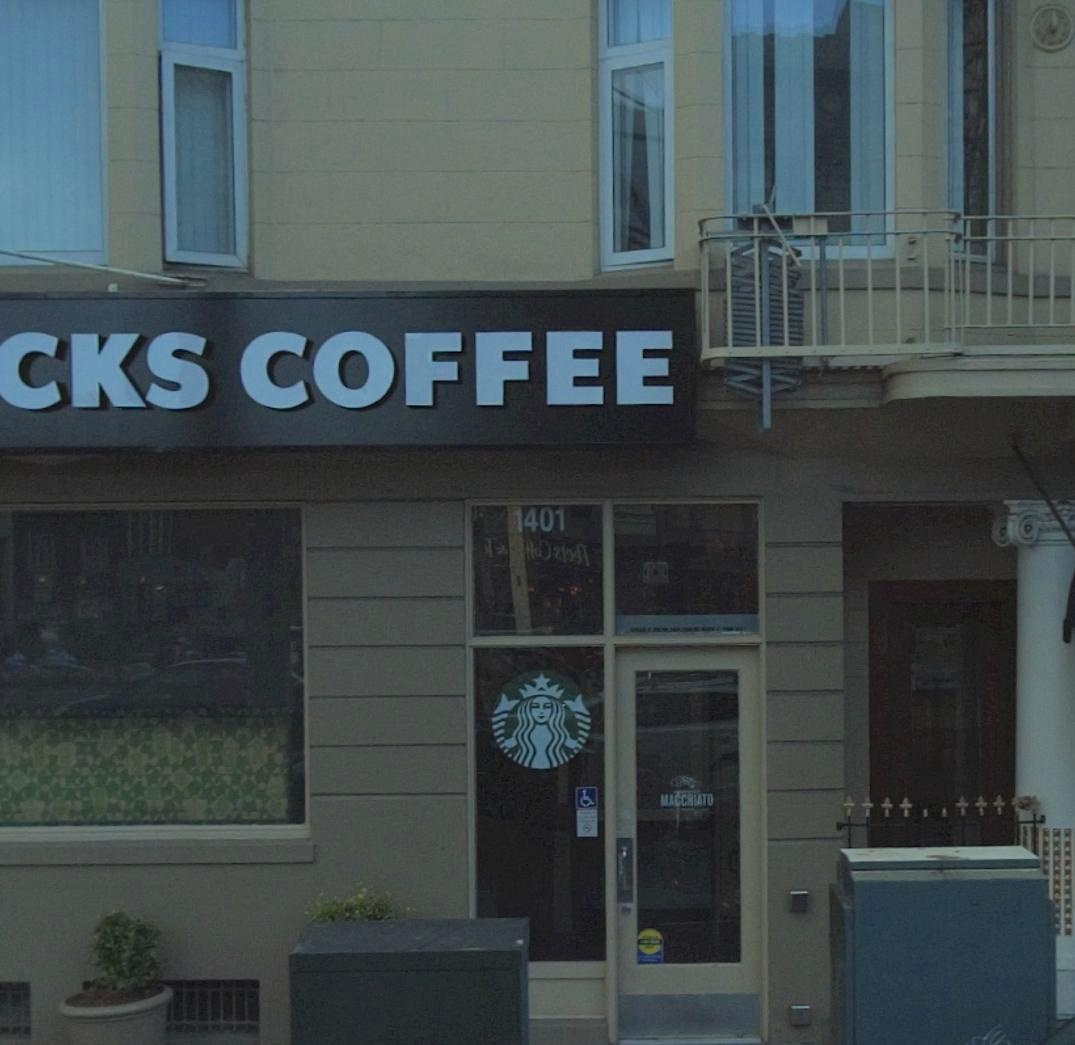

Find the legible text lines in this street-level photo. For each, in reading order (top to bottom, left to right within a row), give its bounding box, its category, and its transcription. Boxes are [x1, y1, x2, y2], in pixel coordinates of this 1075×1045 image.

[64, 328, 681, 414] BusinessName: KS COFFEE
[511, 504, 569, 534] StreetNumber: 1401
[521, 535, 594, 572] None: **o* *****
[657, 790, 716, 810] None: MACCHIATO